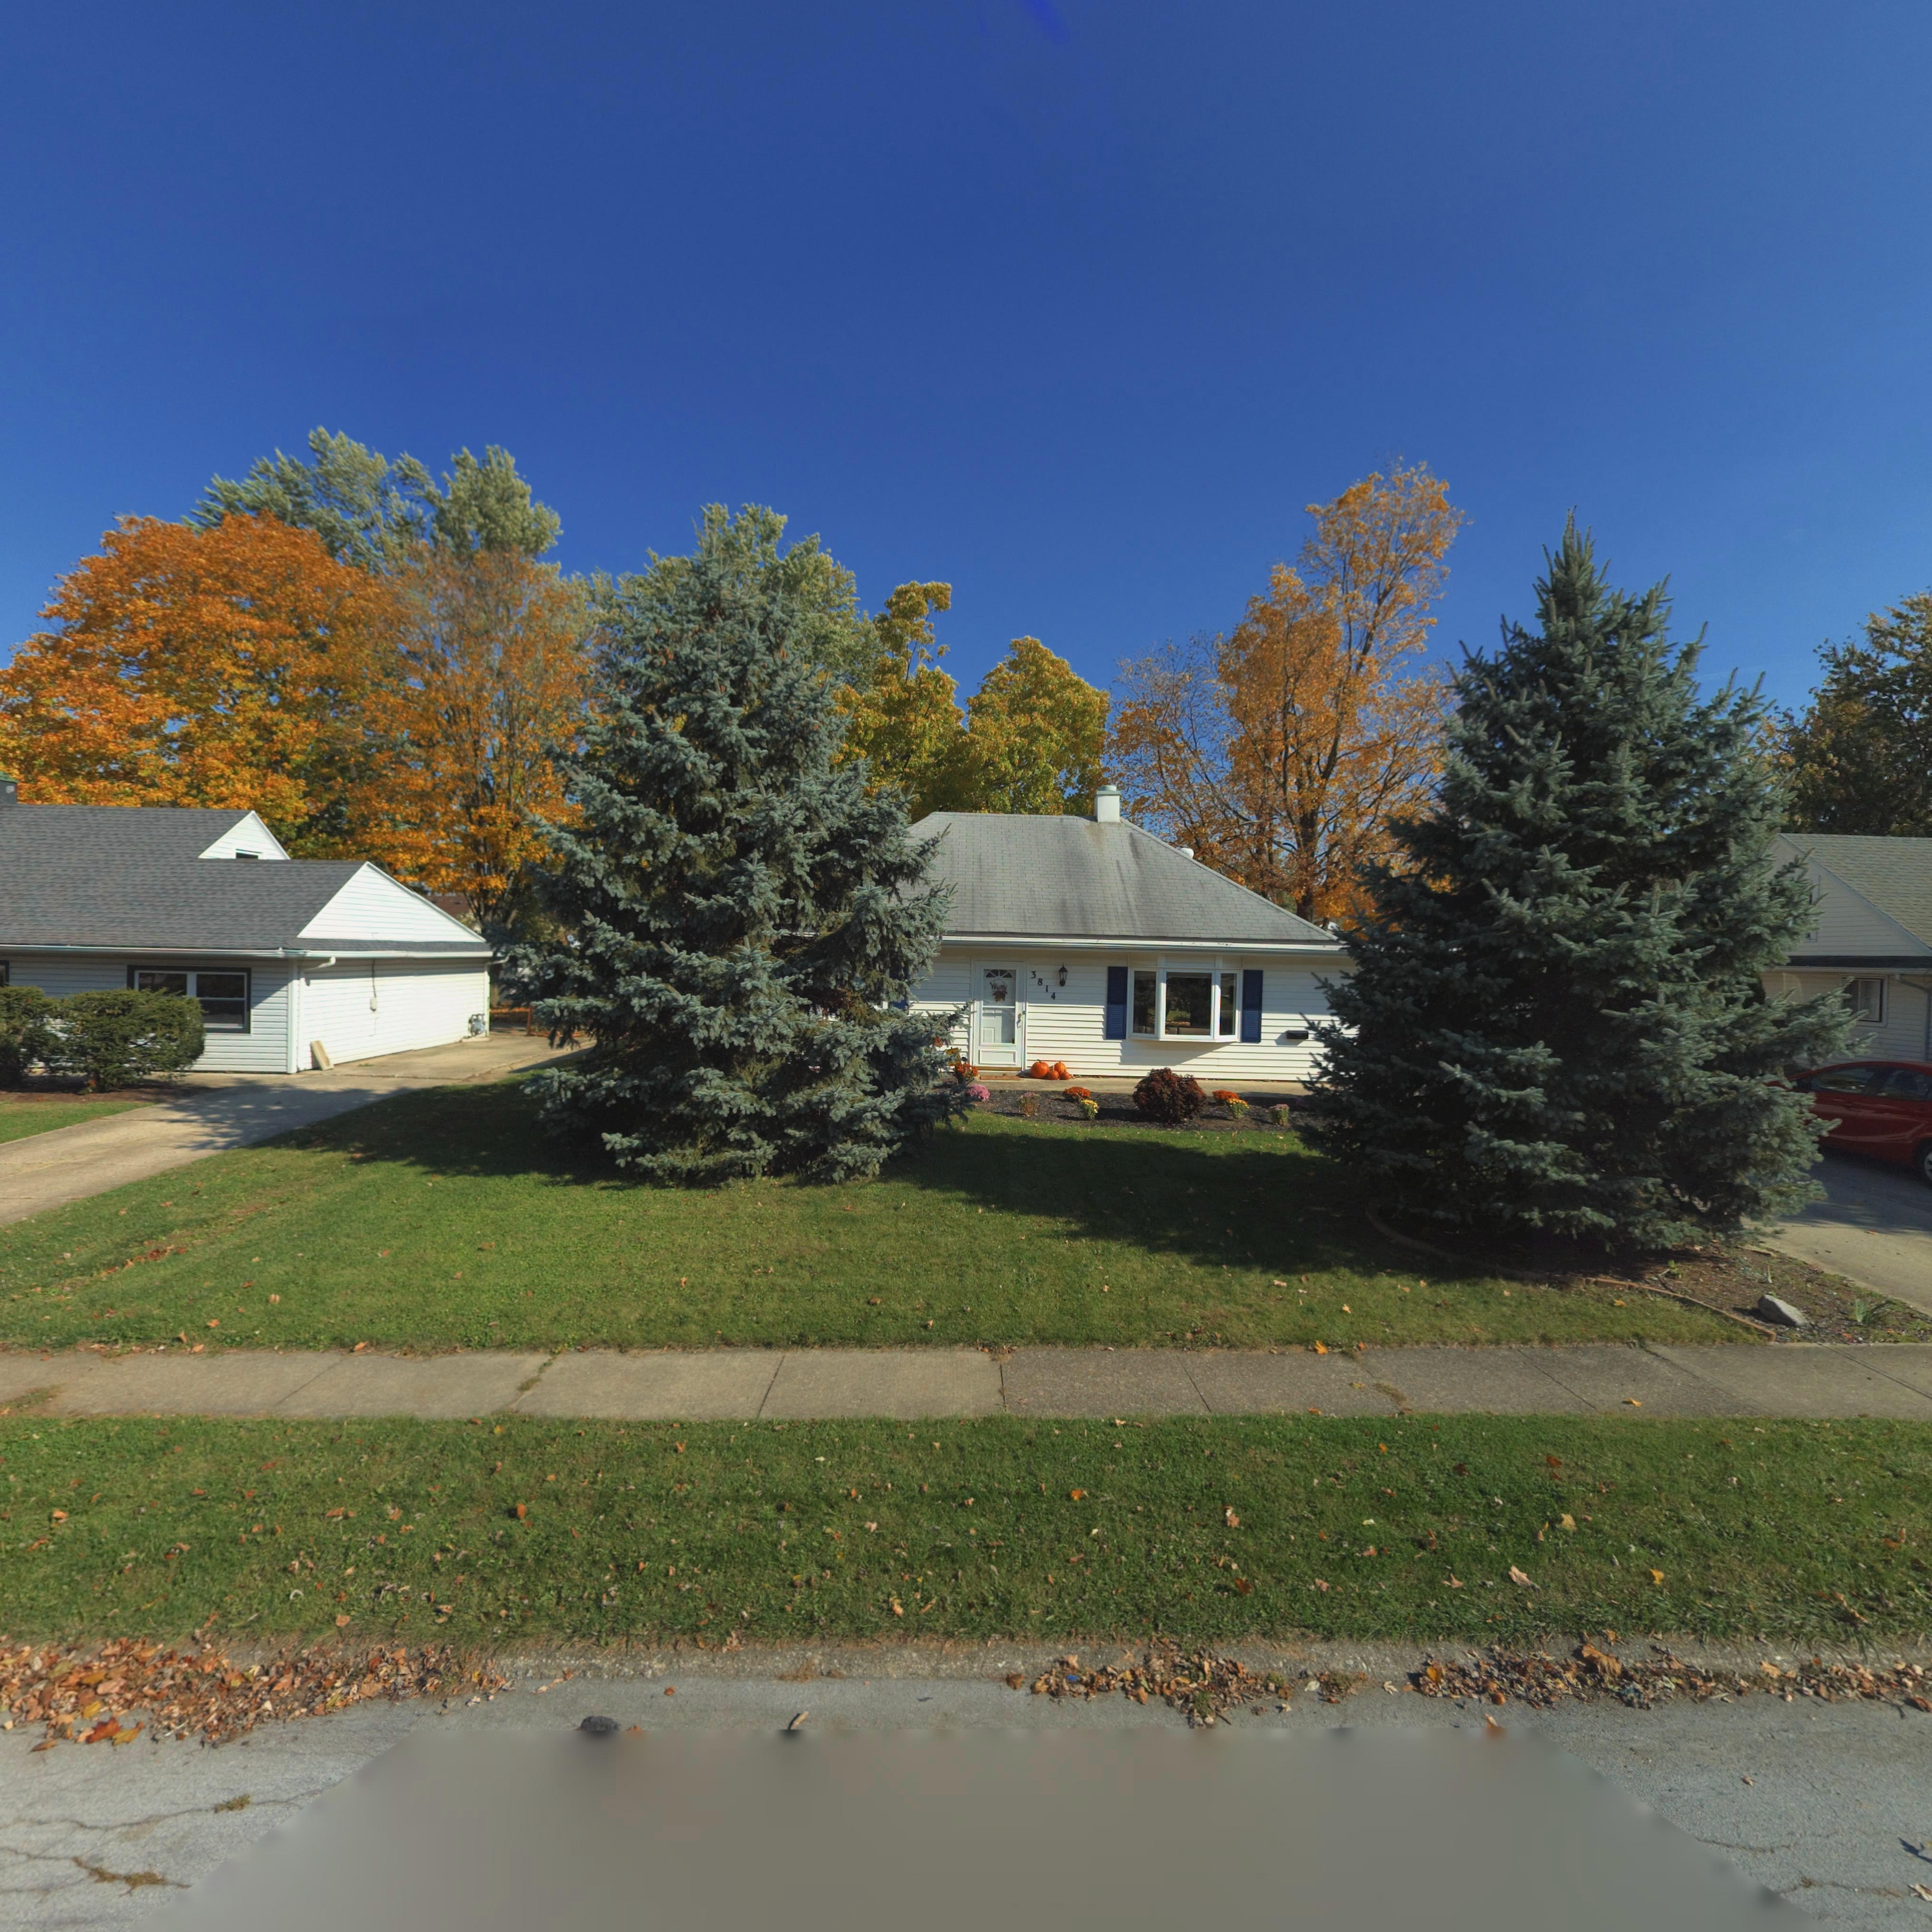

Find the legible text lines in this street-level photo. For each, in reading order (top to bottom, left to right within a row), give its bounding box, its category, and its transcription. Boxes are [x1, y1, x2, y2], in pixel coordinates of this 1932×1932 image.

[1030, 970, 1056, 1001] StreetNumber: 3814